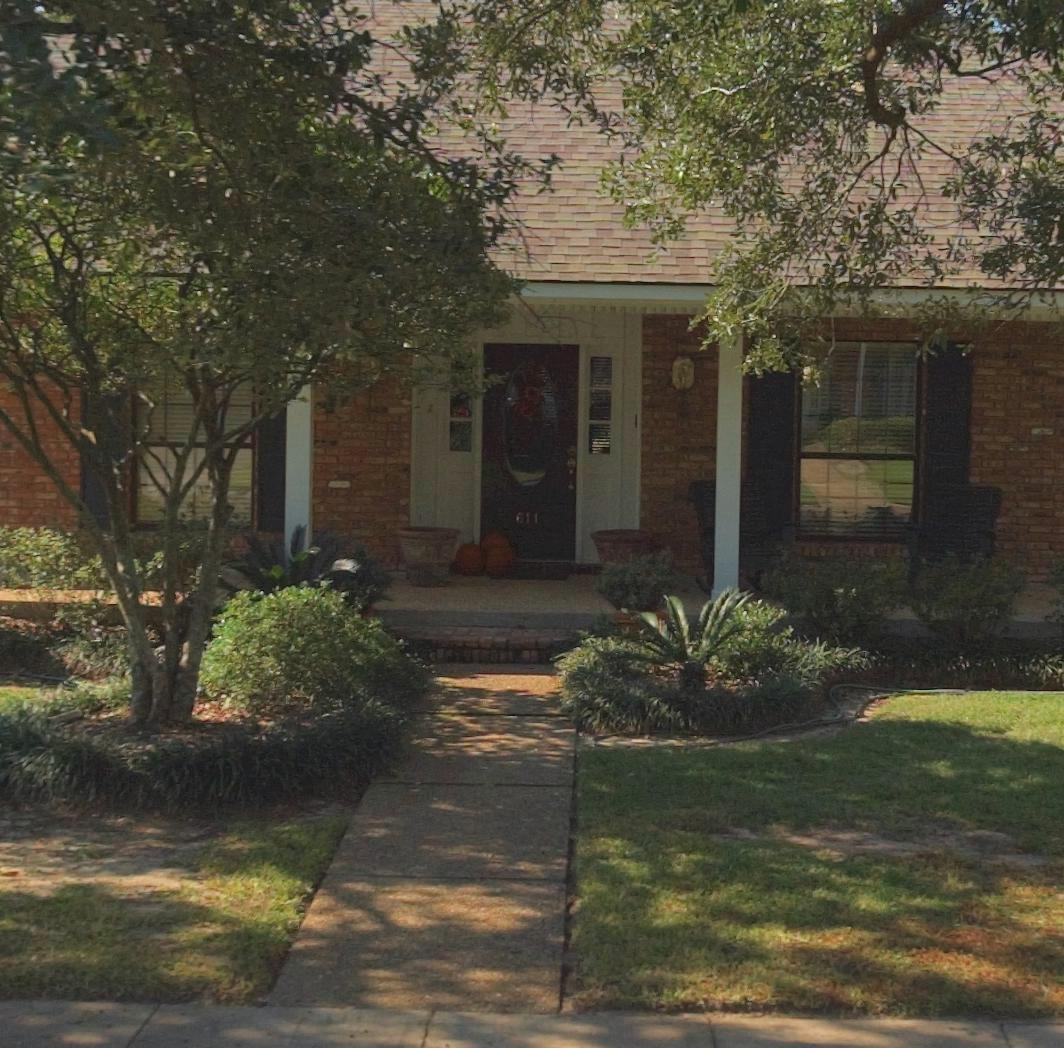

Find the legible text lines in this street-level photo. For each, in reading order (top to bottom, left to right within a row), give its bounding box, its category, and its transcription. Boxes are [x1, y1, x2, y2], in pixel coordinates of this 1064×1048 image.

[515, 511, 540, 525] StreetNumber: 611